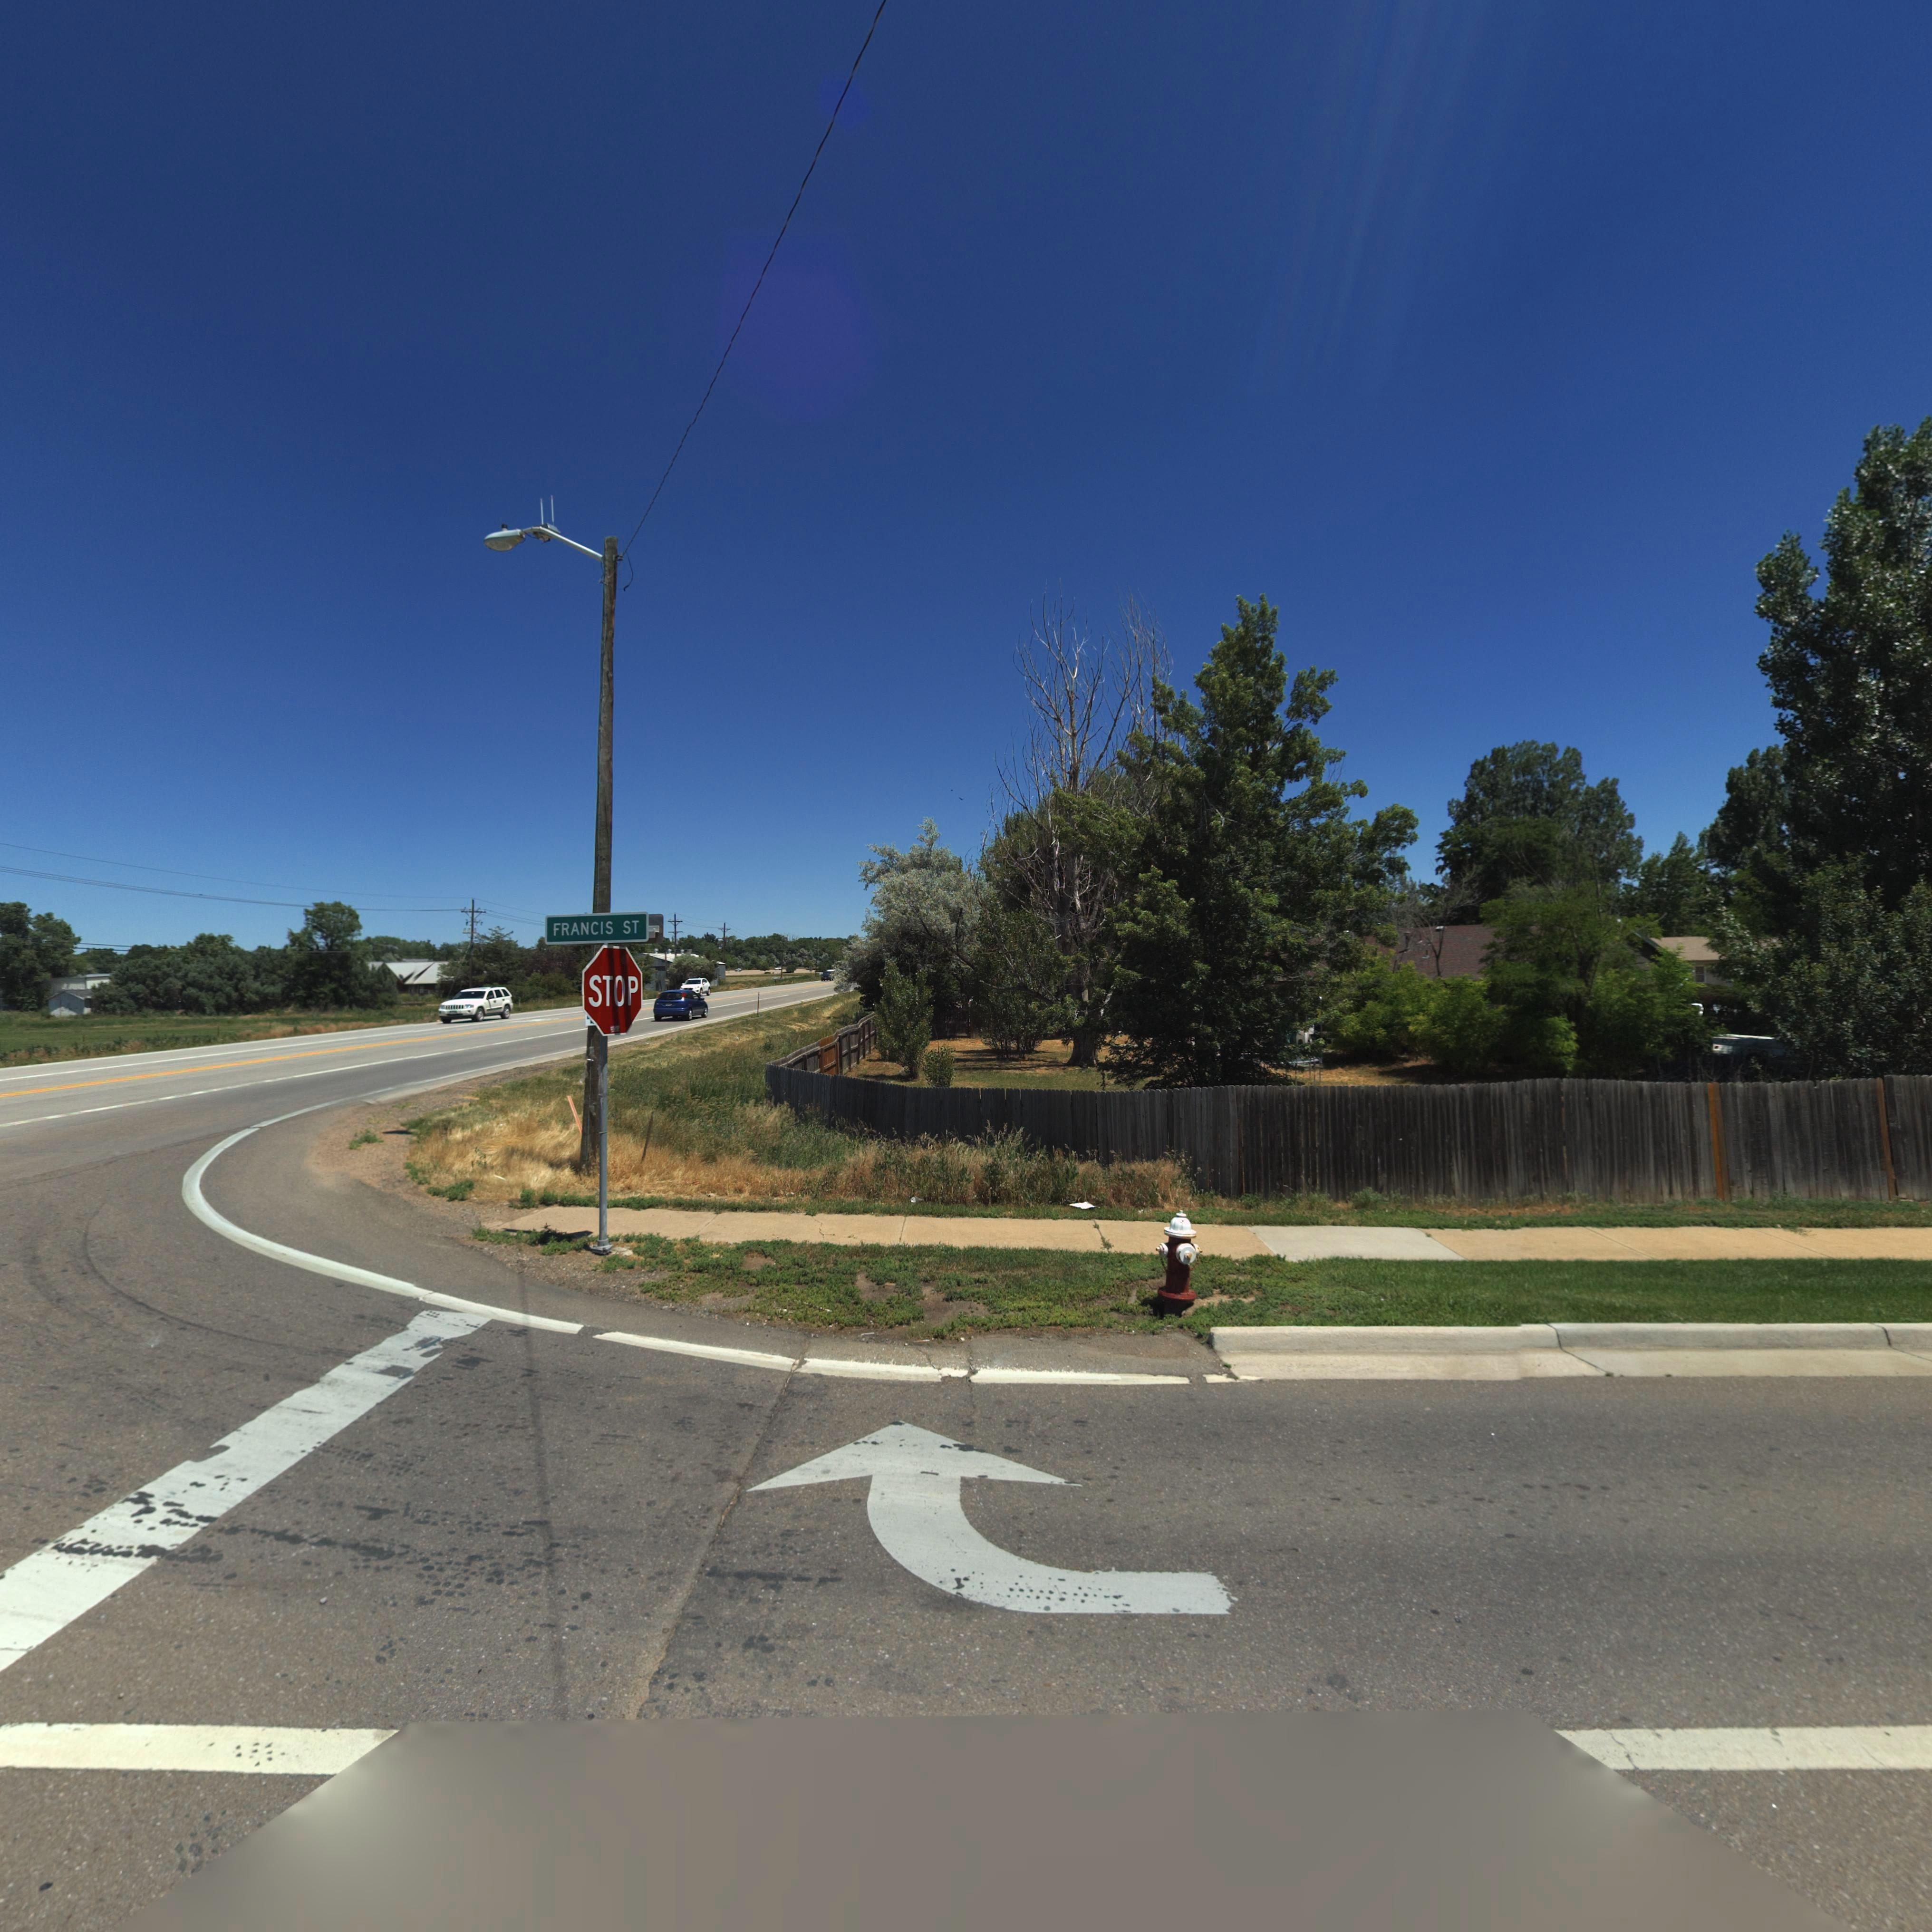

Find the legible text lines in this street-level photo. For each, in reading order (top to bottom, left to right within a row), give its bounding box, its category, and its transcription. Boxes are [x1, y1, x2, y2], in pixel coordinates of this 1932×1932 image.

[551, 919, 640, 937] StreetName: FRANCIS ST